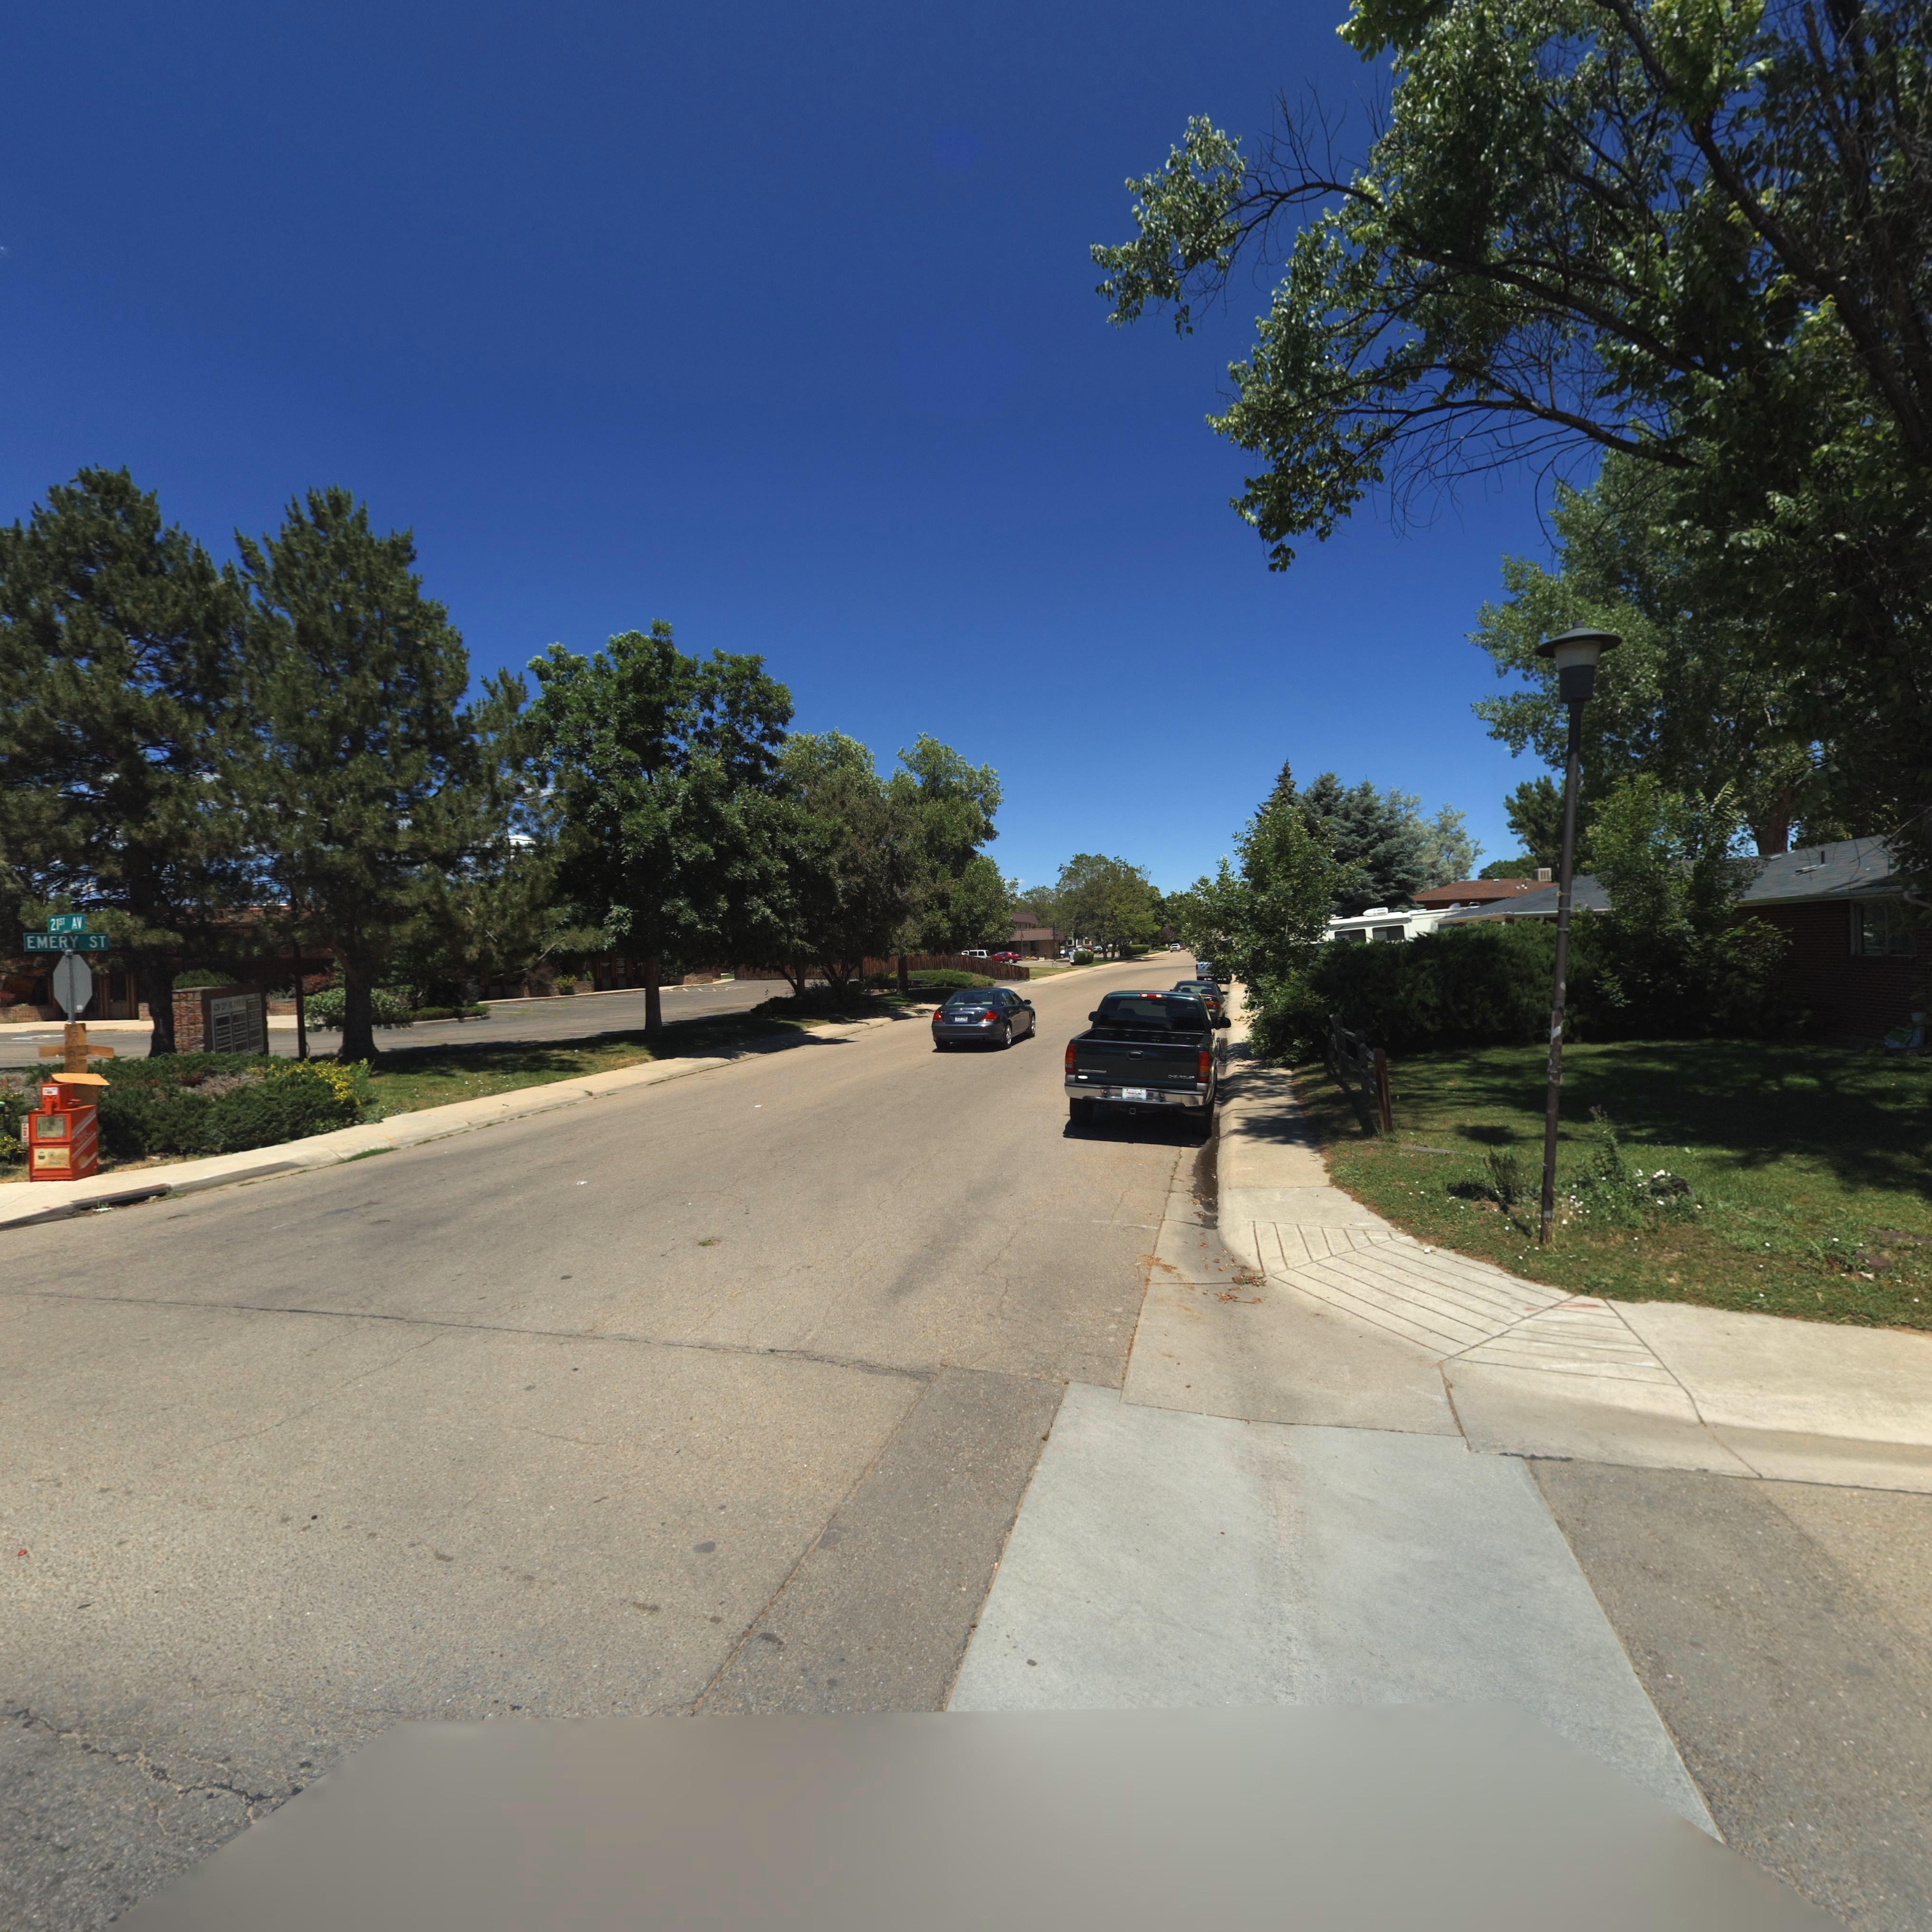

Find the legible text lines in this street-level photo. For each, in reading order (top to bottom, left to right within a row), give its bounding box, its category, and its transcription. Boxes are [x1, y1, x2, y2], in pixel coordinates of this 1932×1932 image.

[49, 915, 82, 931] StreetName: 21ST AV
[26, 935, 106, 949] StreetName: EMERY ST
[212, 1002, 221, 1012] StreetNumber: *20
[221, 997, 245, 1010] StreetName: 2*** A****E